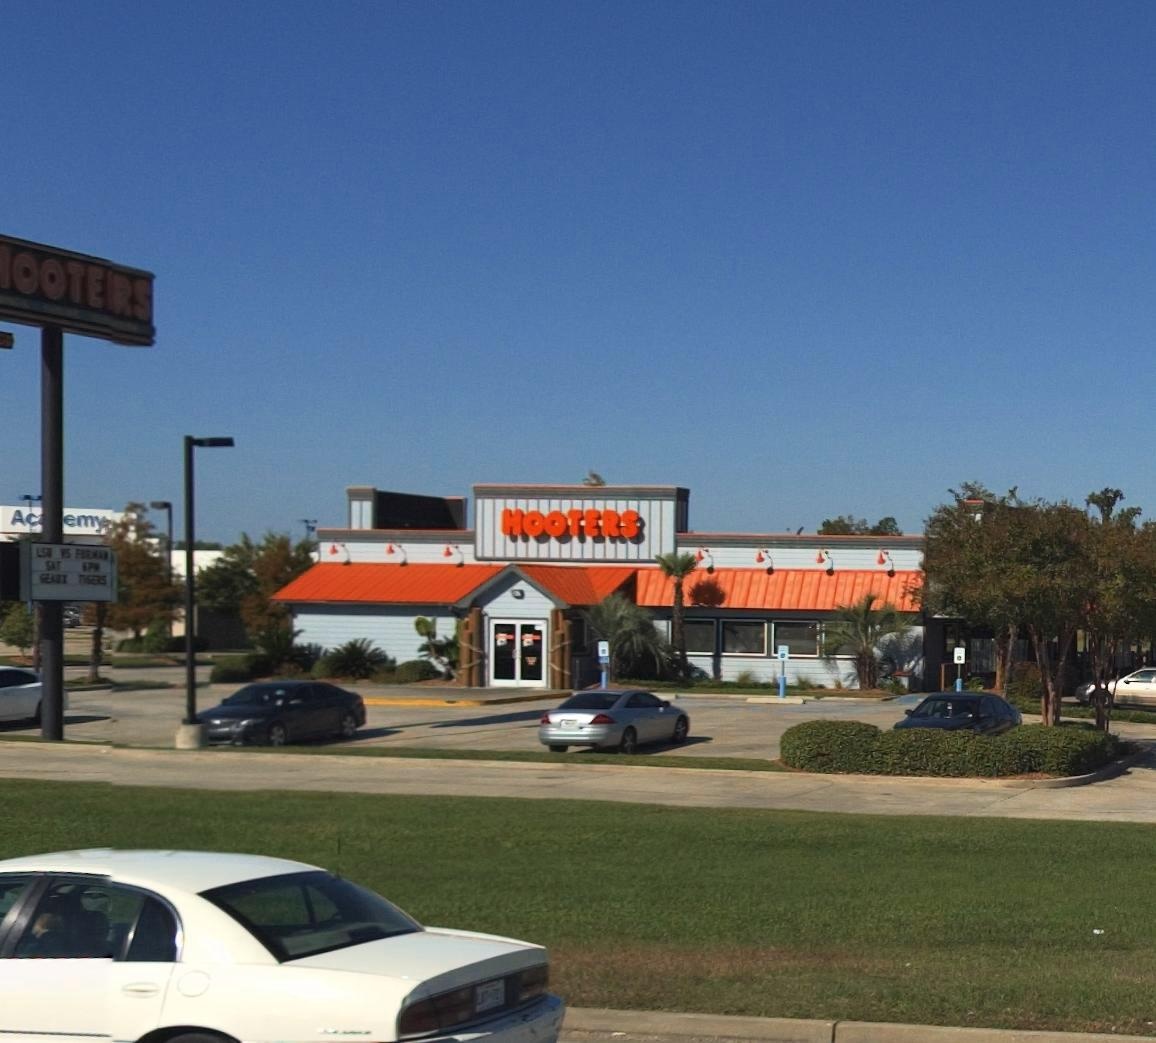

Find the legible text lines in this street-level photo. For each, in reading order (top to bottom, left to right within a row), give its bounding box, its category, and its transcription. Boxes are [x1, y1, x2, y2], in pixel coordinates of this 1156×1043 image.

[9, 248, 154, 325] BusinessName: OOTE*S
[500, 507, 641, 539] BusinessName: HOOTERS
[33, 545, 49, 559] None: LS
[43, 559, 103, 574] None: SAT 6PM
[54, 571, 109, 588] None: ST TIGERS